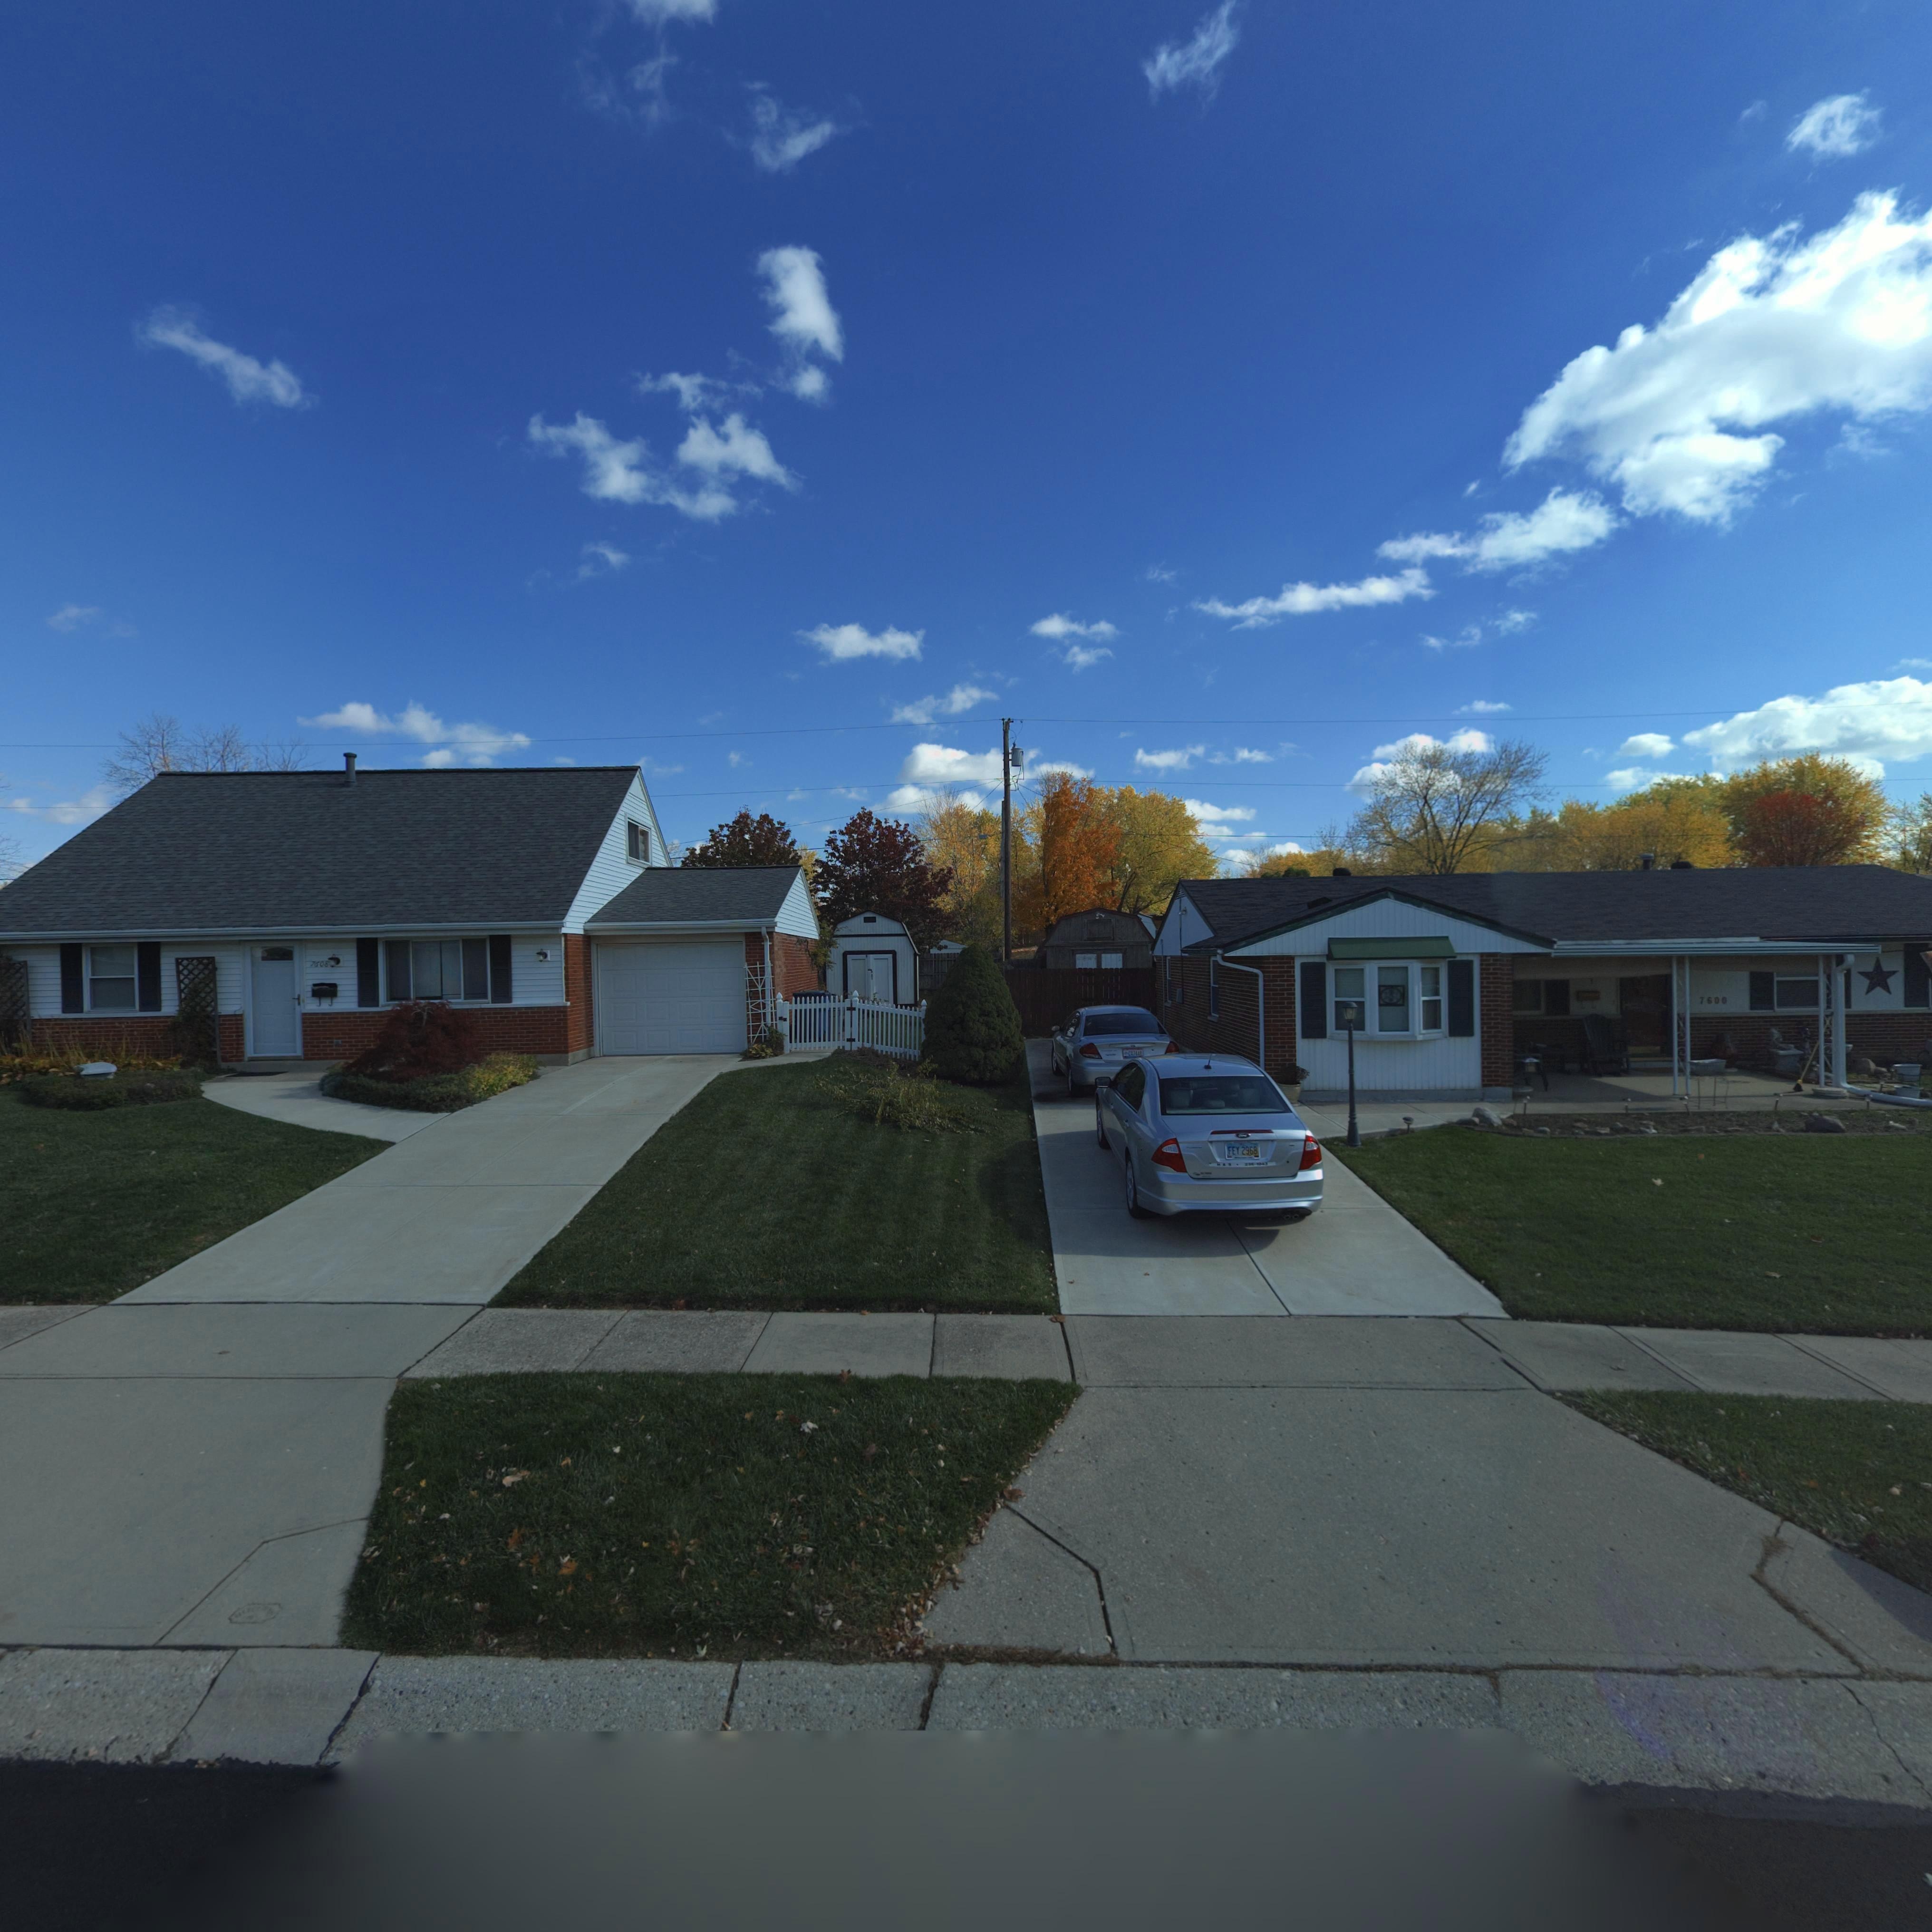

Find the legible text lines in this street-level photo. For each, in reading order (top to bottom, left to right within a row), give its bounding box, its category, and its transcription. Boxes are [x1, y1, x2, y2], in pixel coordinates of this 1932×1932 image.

[309, 960, 329, 967] StreetNumber: 7608
[1699, 996, 1728, 1005] StreetNumber: 7600